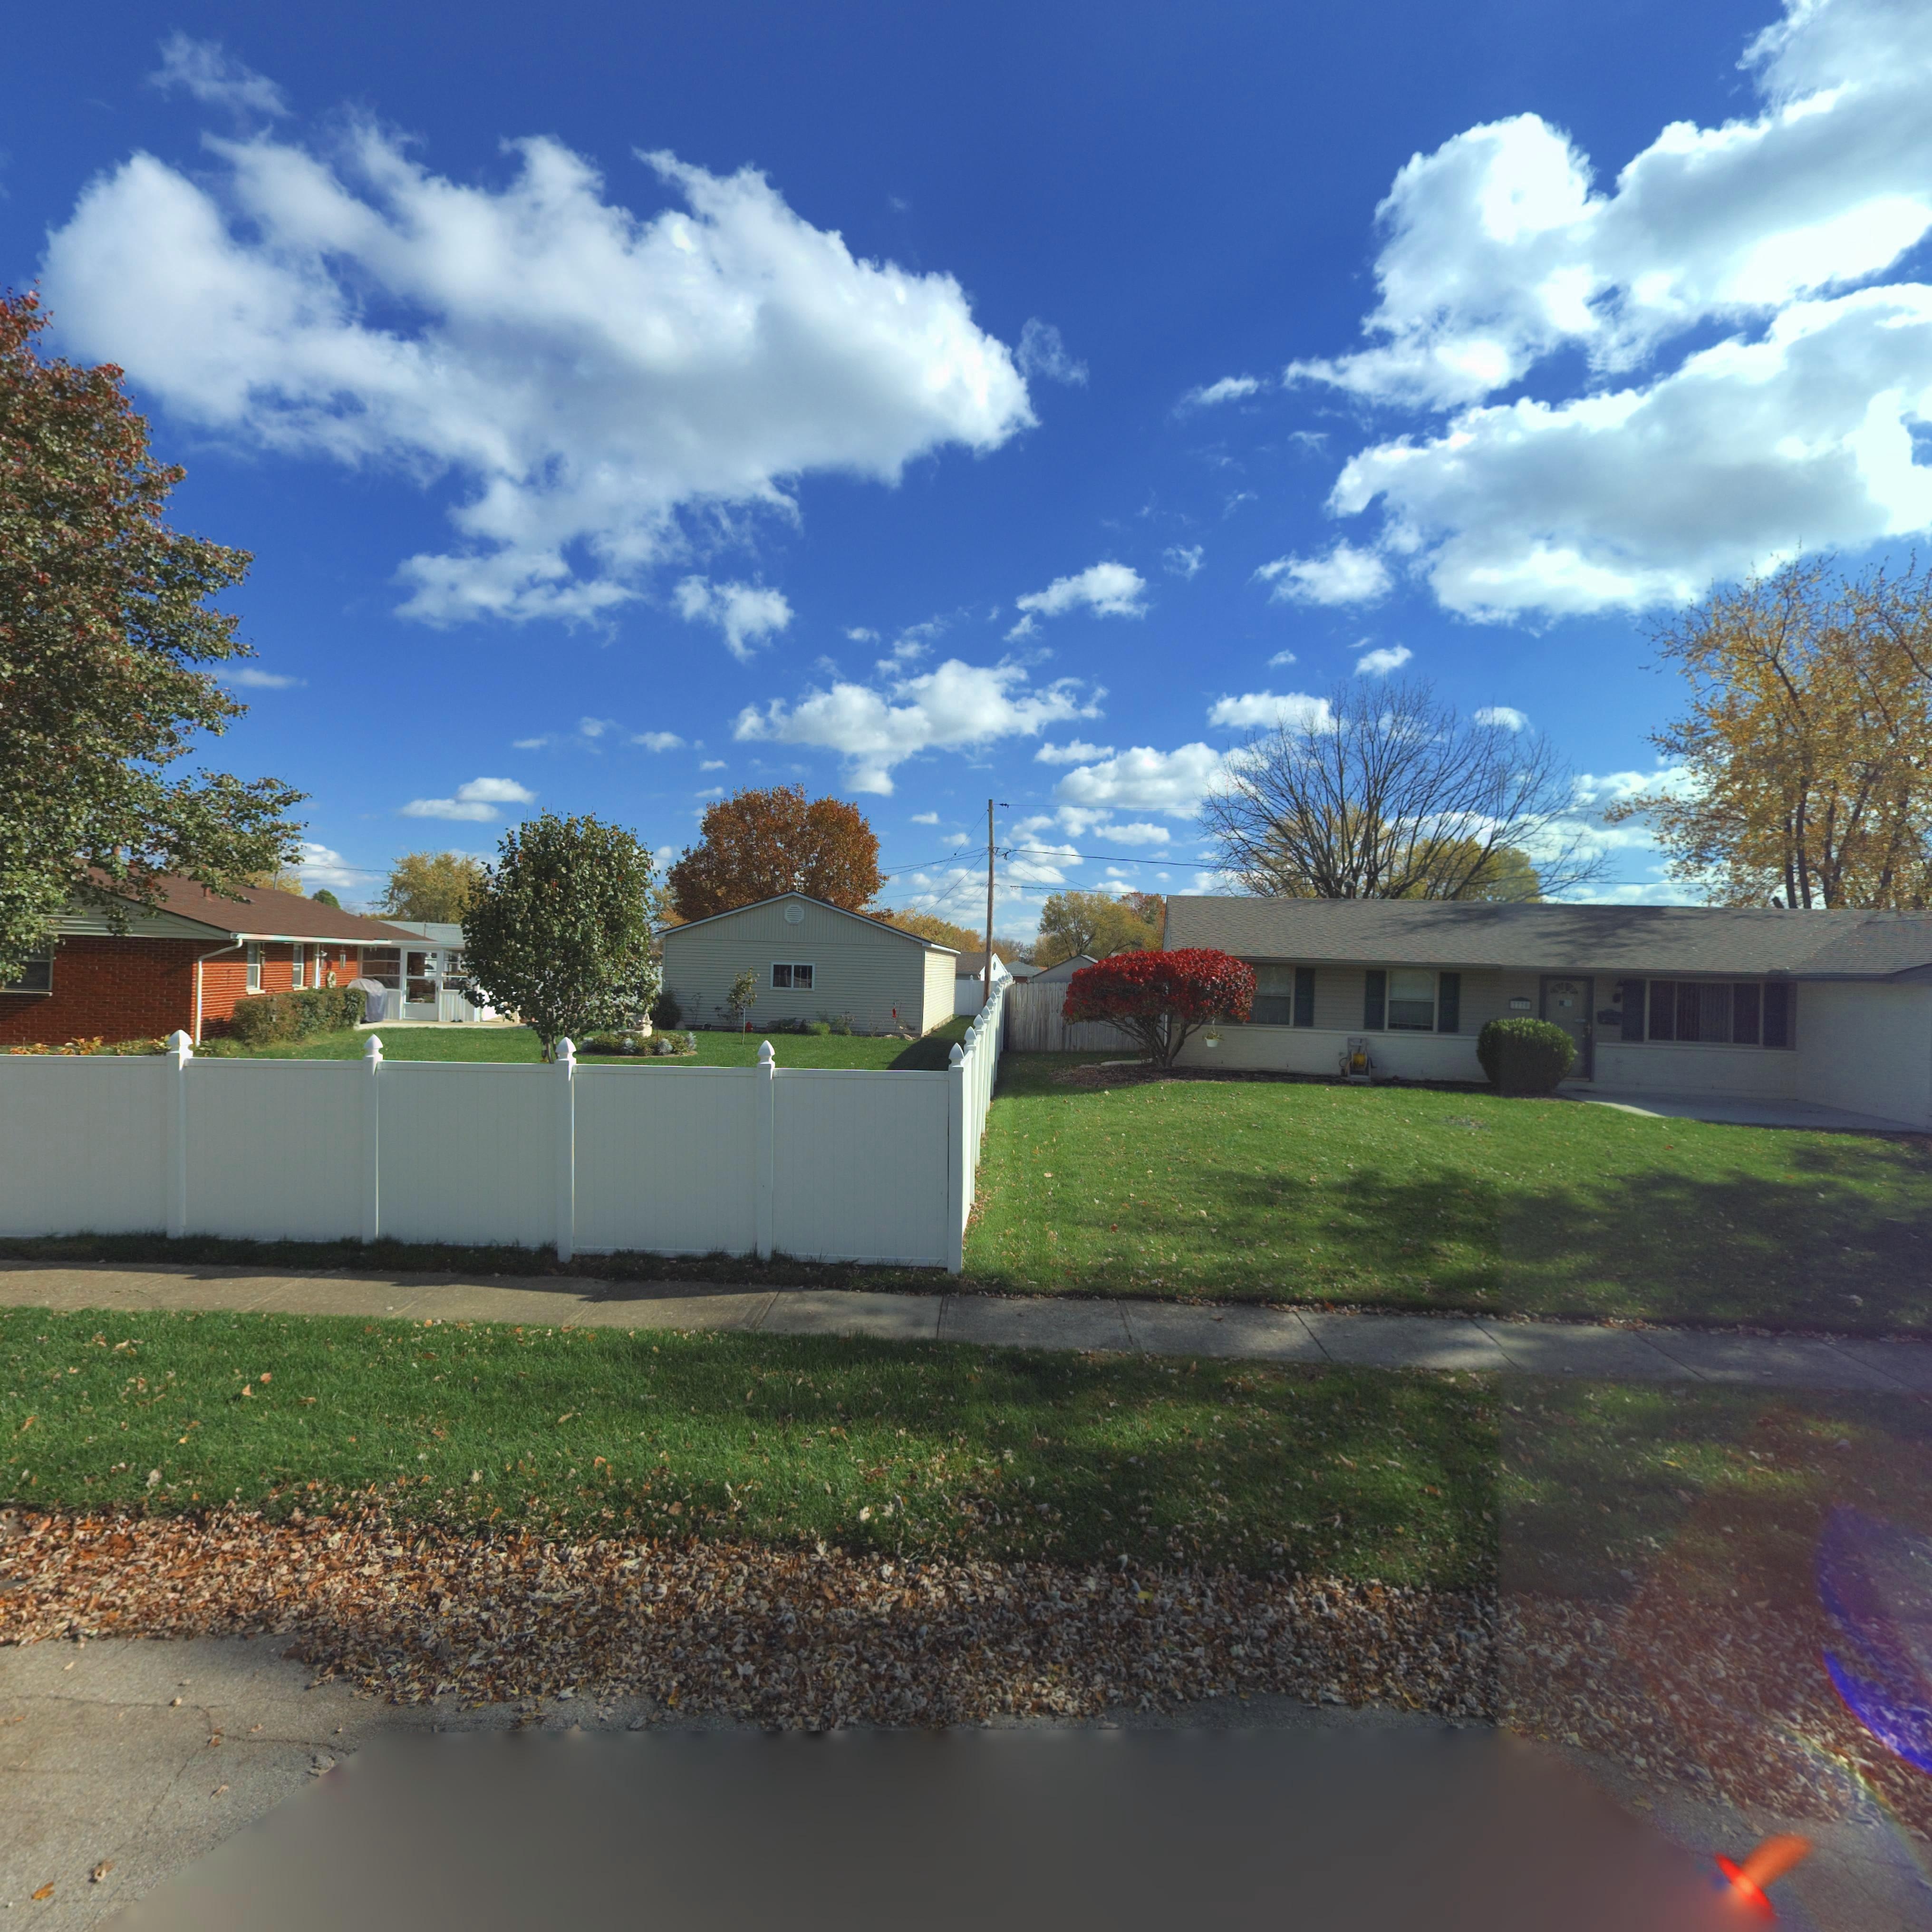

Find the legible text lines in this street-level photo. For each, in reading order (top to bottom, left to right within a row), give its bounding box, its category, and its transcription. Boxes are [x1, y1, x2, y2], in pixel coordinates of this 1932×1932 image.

[1512, 1001, 1528, 1008] StreetNumber: 7770